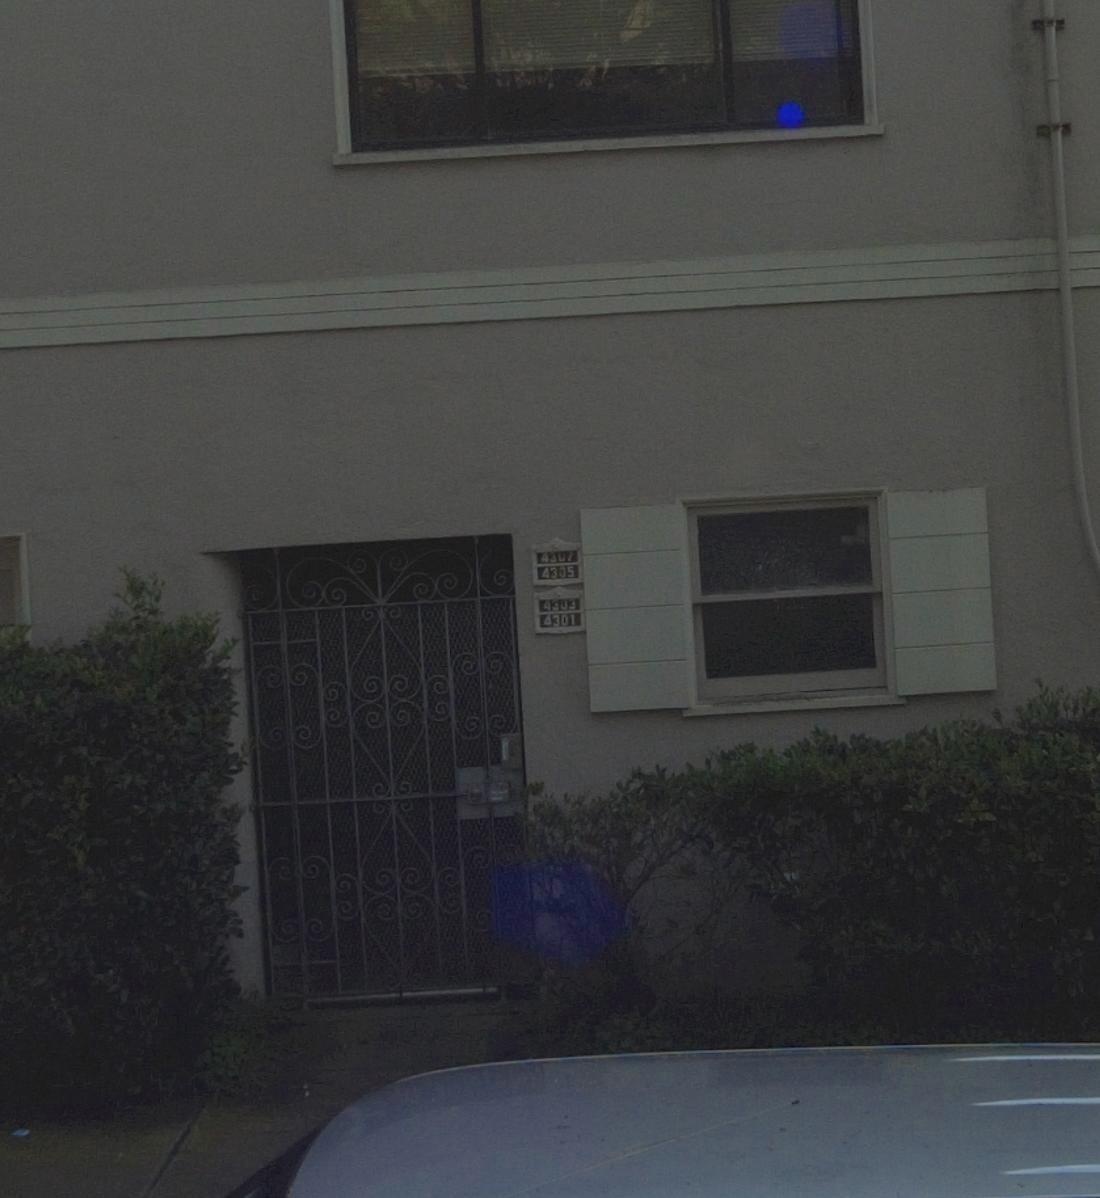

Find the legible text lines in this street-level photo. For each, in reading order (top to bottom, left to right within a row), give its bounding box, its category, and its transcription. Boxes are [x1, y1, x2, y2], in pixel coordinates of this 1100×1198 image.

[539, 551, 575, 562] StreetNumber: 4307
[540, 566, 574, 579] StreetNumber: 4305
[543, 598, 576, 611] StreetNumber: 4303
[543, 613, 576, 627] StreetNumber: 4301